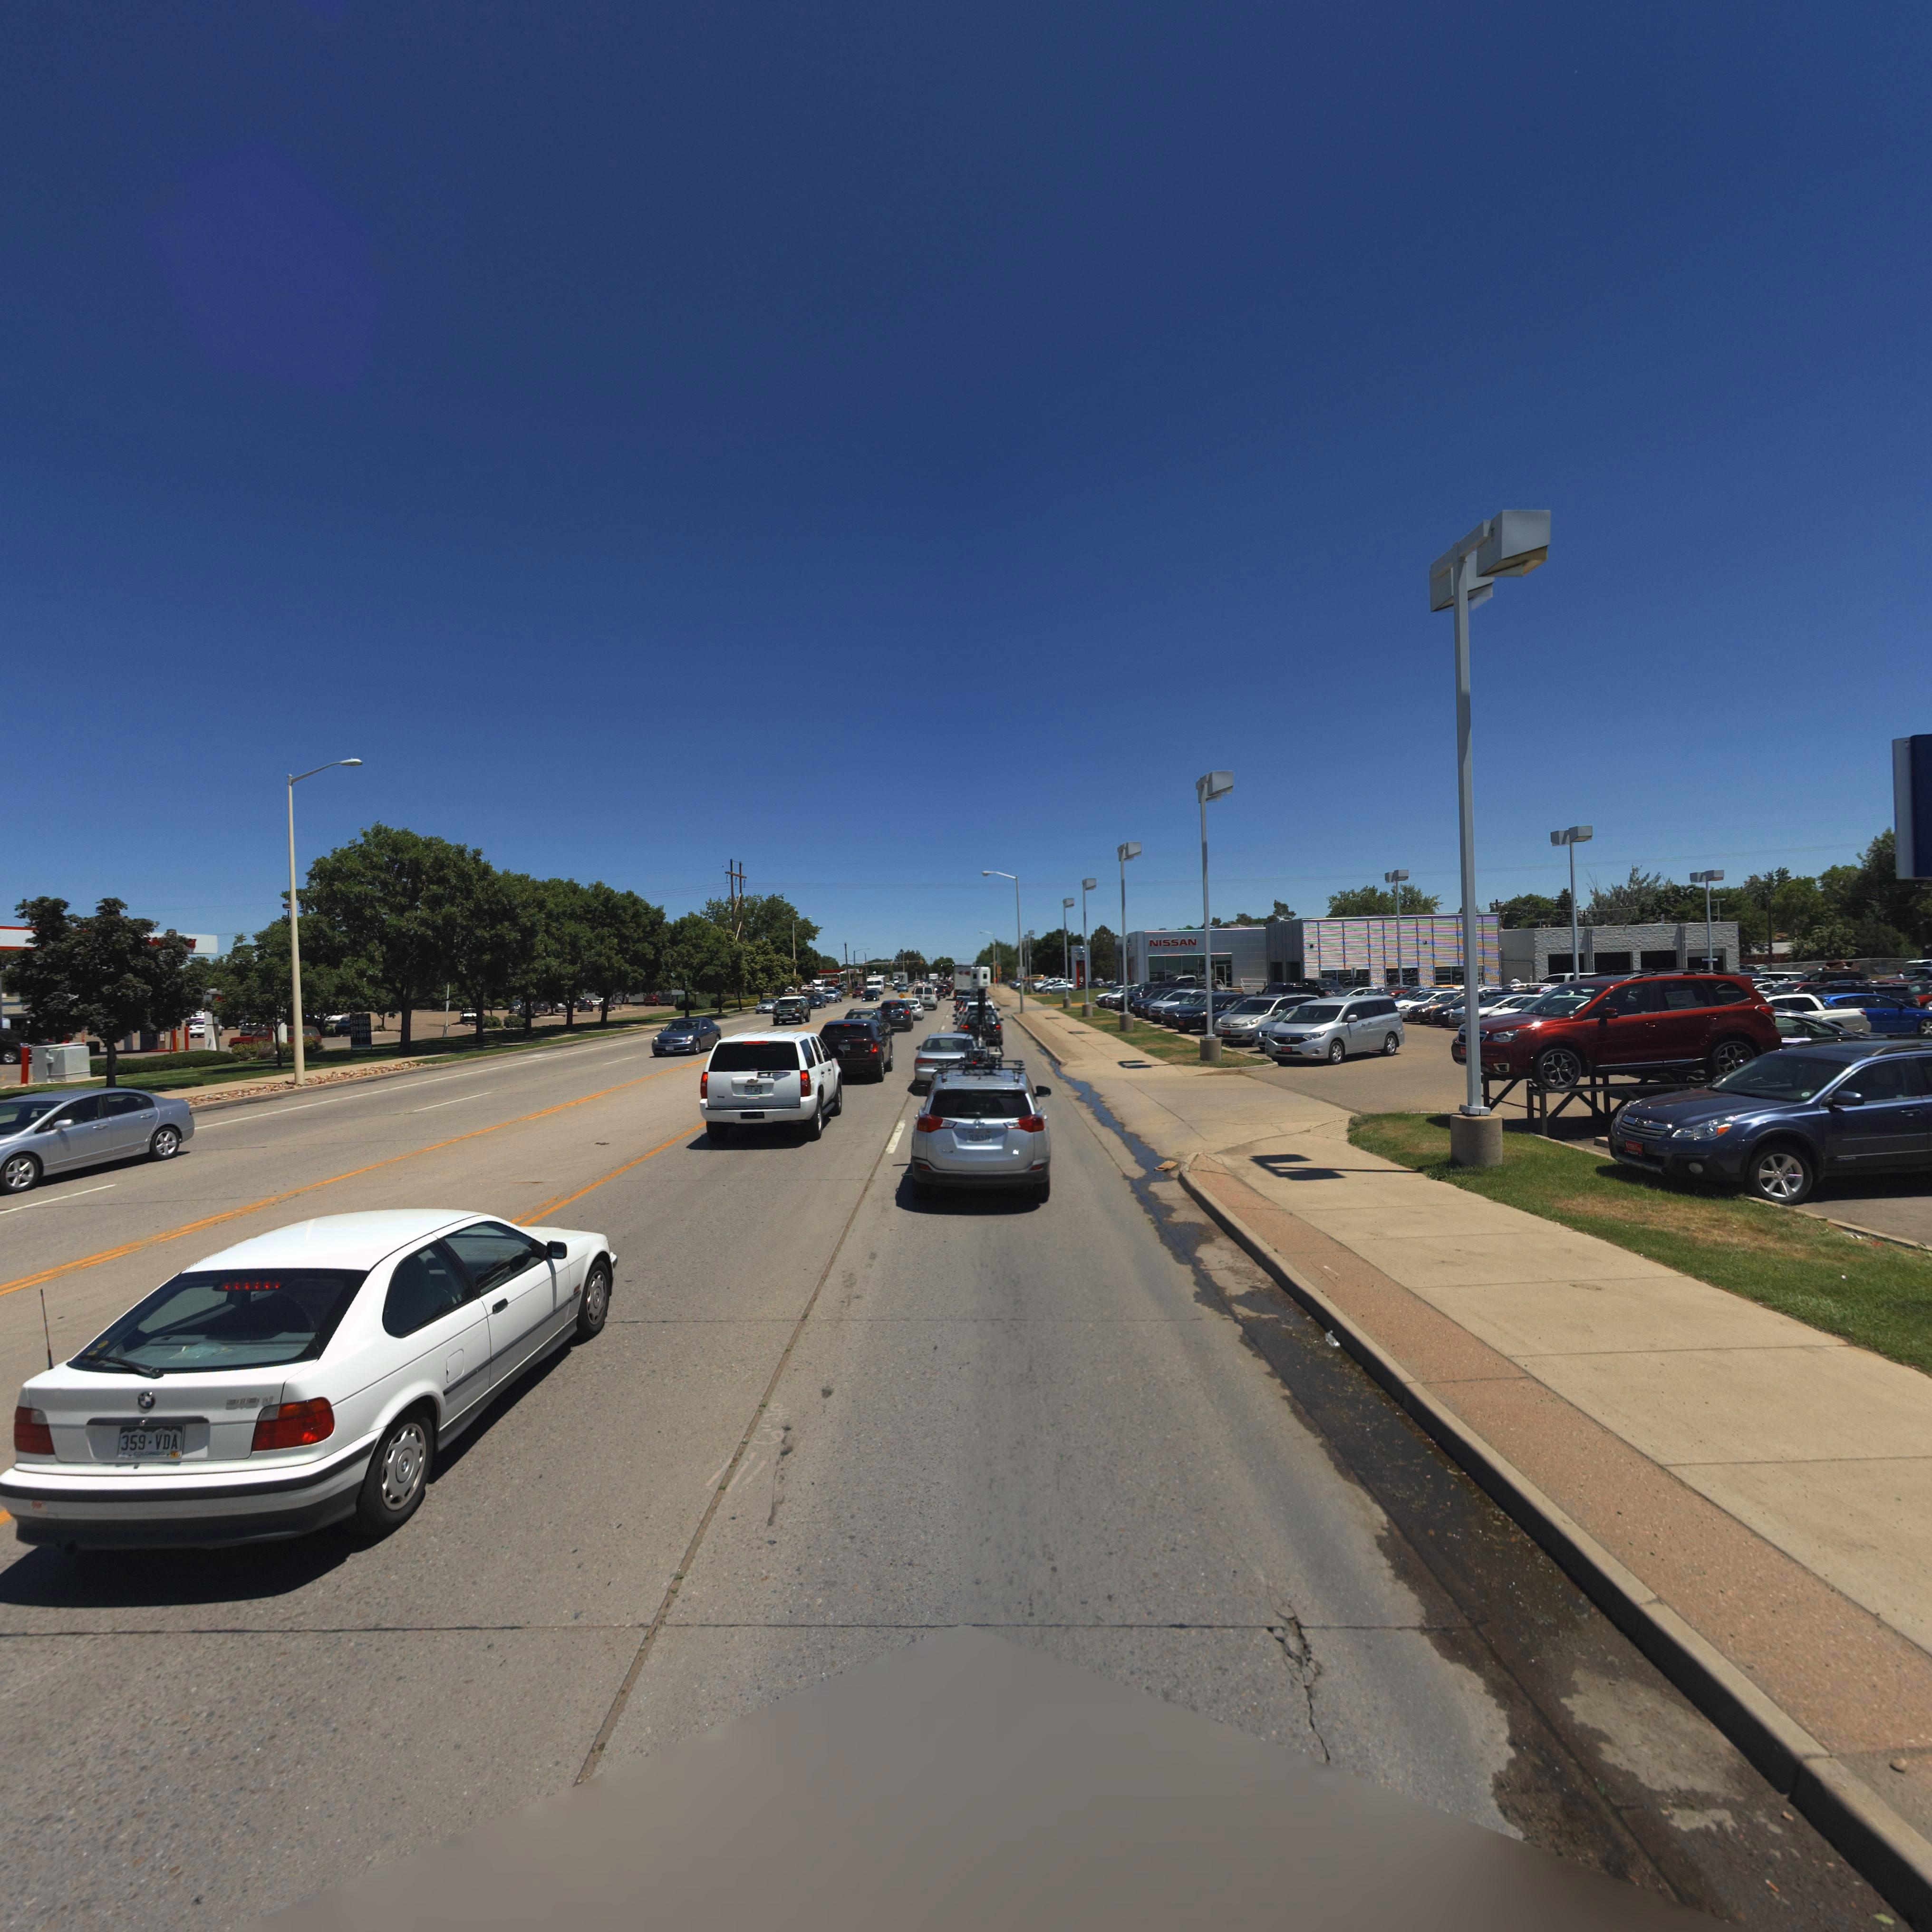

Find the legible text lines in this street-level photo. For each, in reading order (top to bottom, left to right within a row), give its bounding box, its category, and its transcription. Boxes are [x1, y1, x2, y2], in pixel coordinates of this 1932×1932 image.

[1149, 938, 1197, 947] BusinessName: NISSAN